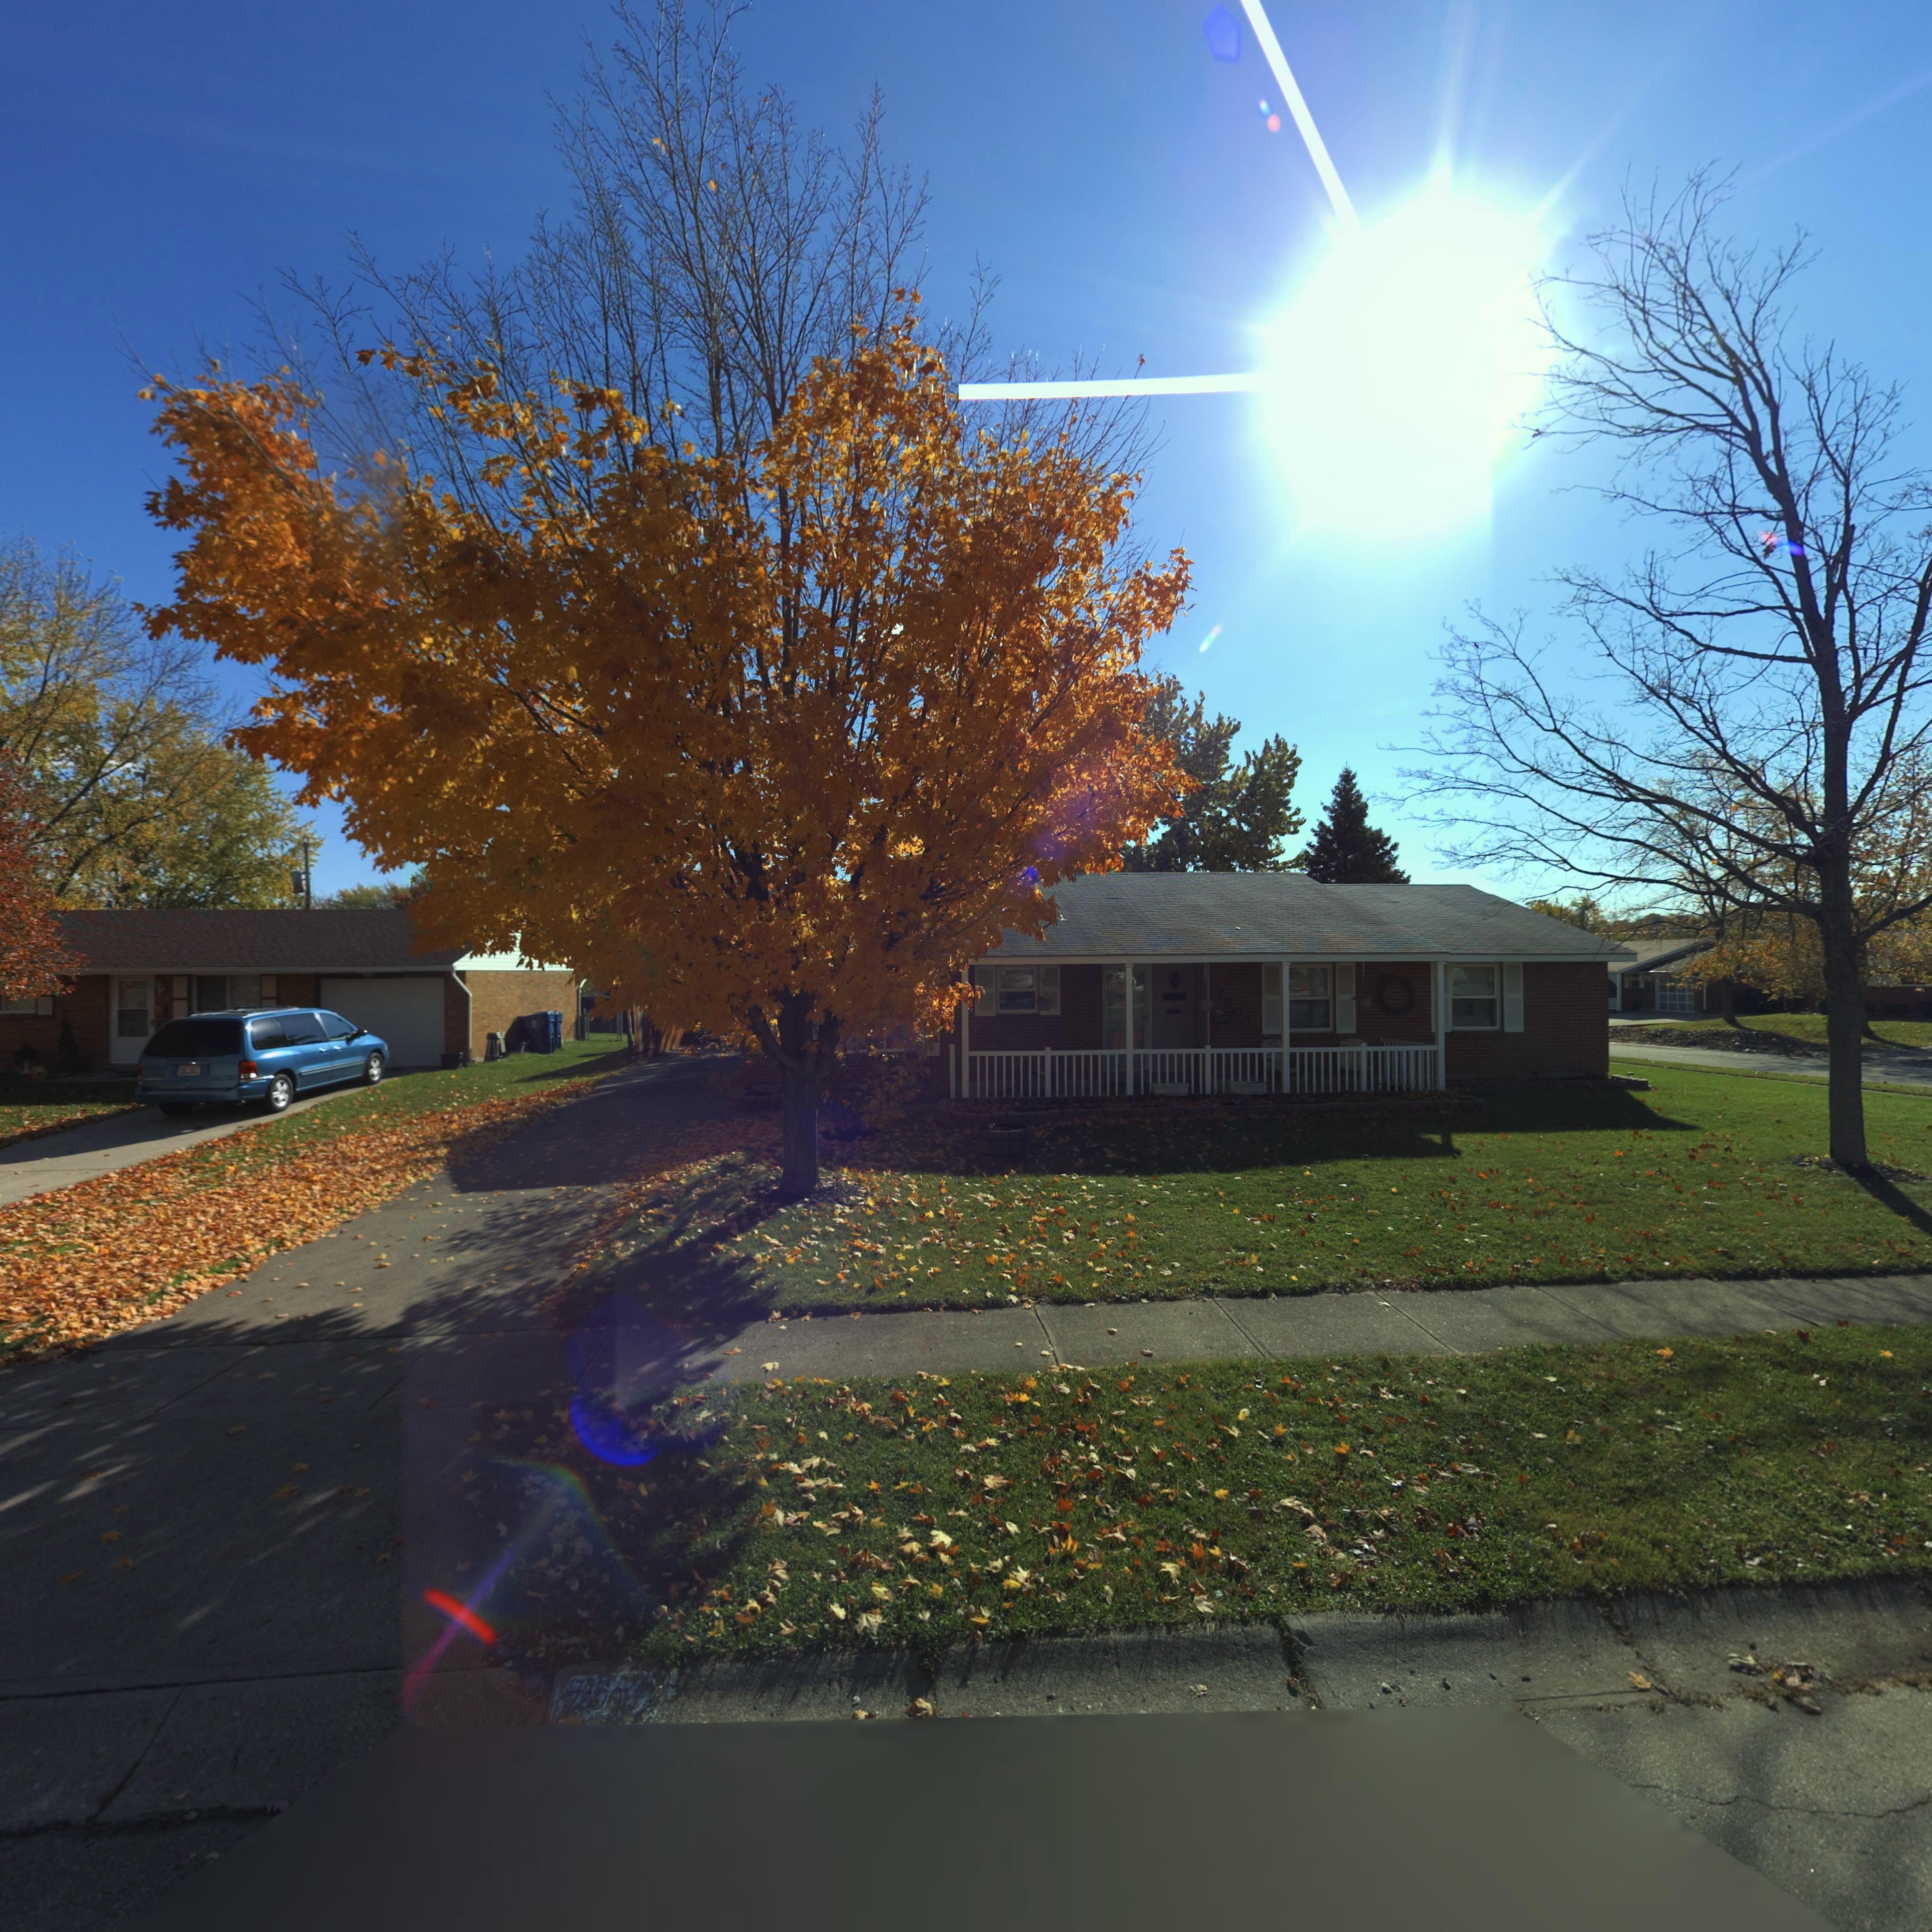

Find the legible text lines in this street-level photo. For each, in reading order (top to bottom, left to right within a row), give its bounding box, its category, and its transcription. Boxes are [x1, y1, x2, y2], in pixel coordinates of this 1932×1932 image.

[1215, 986, 1253, 1029] StreetNumber: 7800